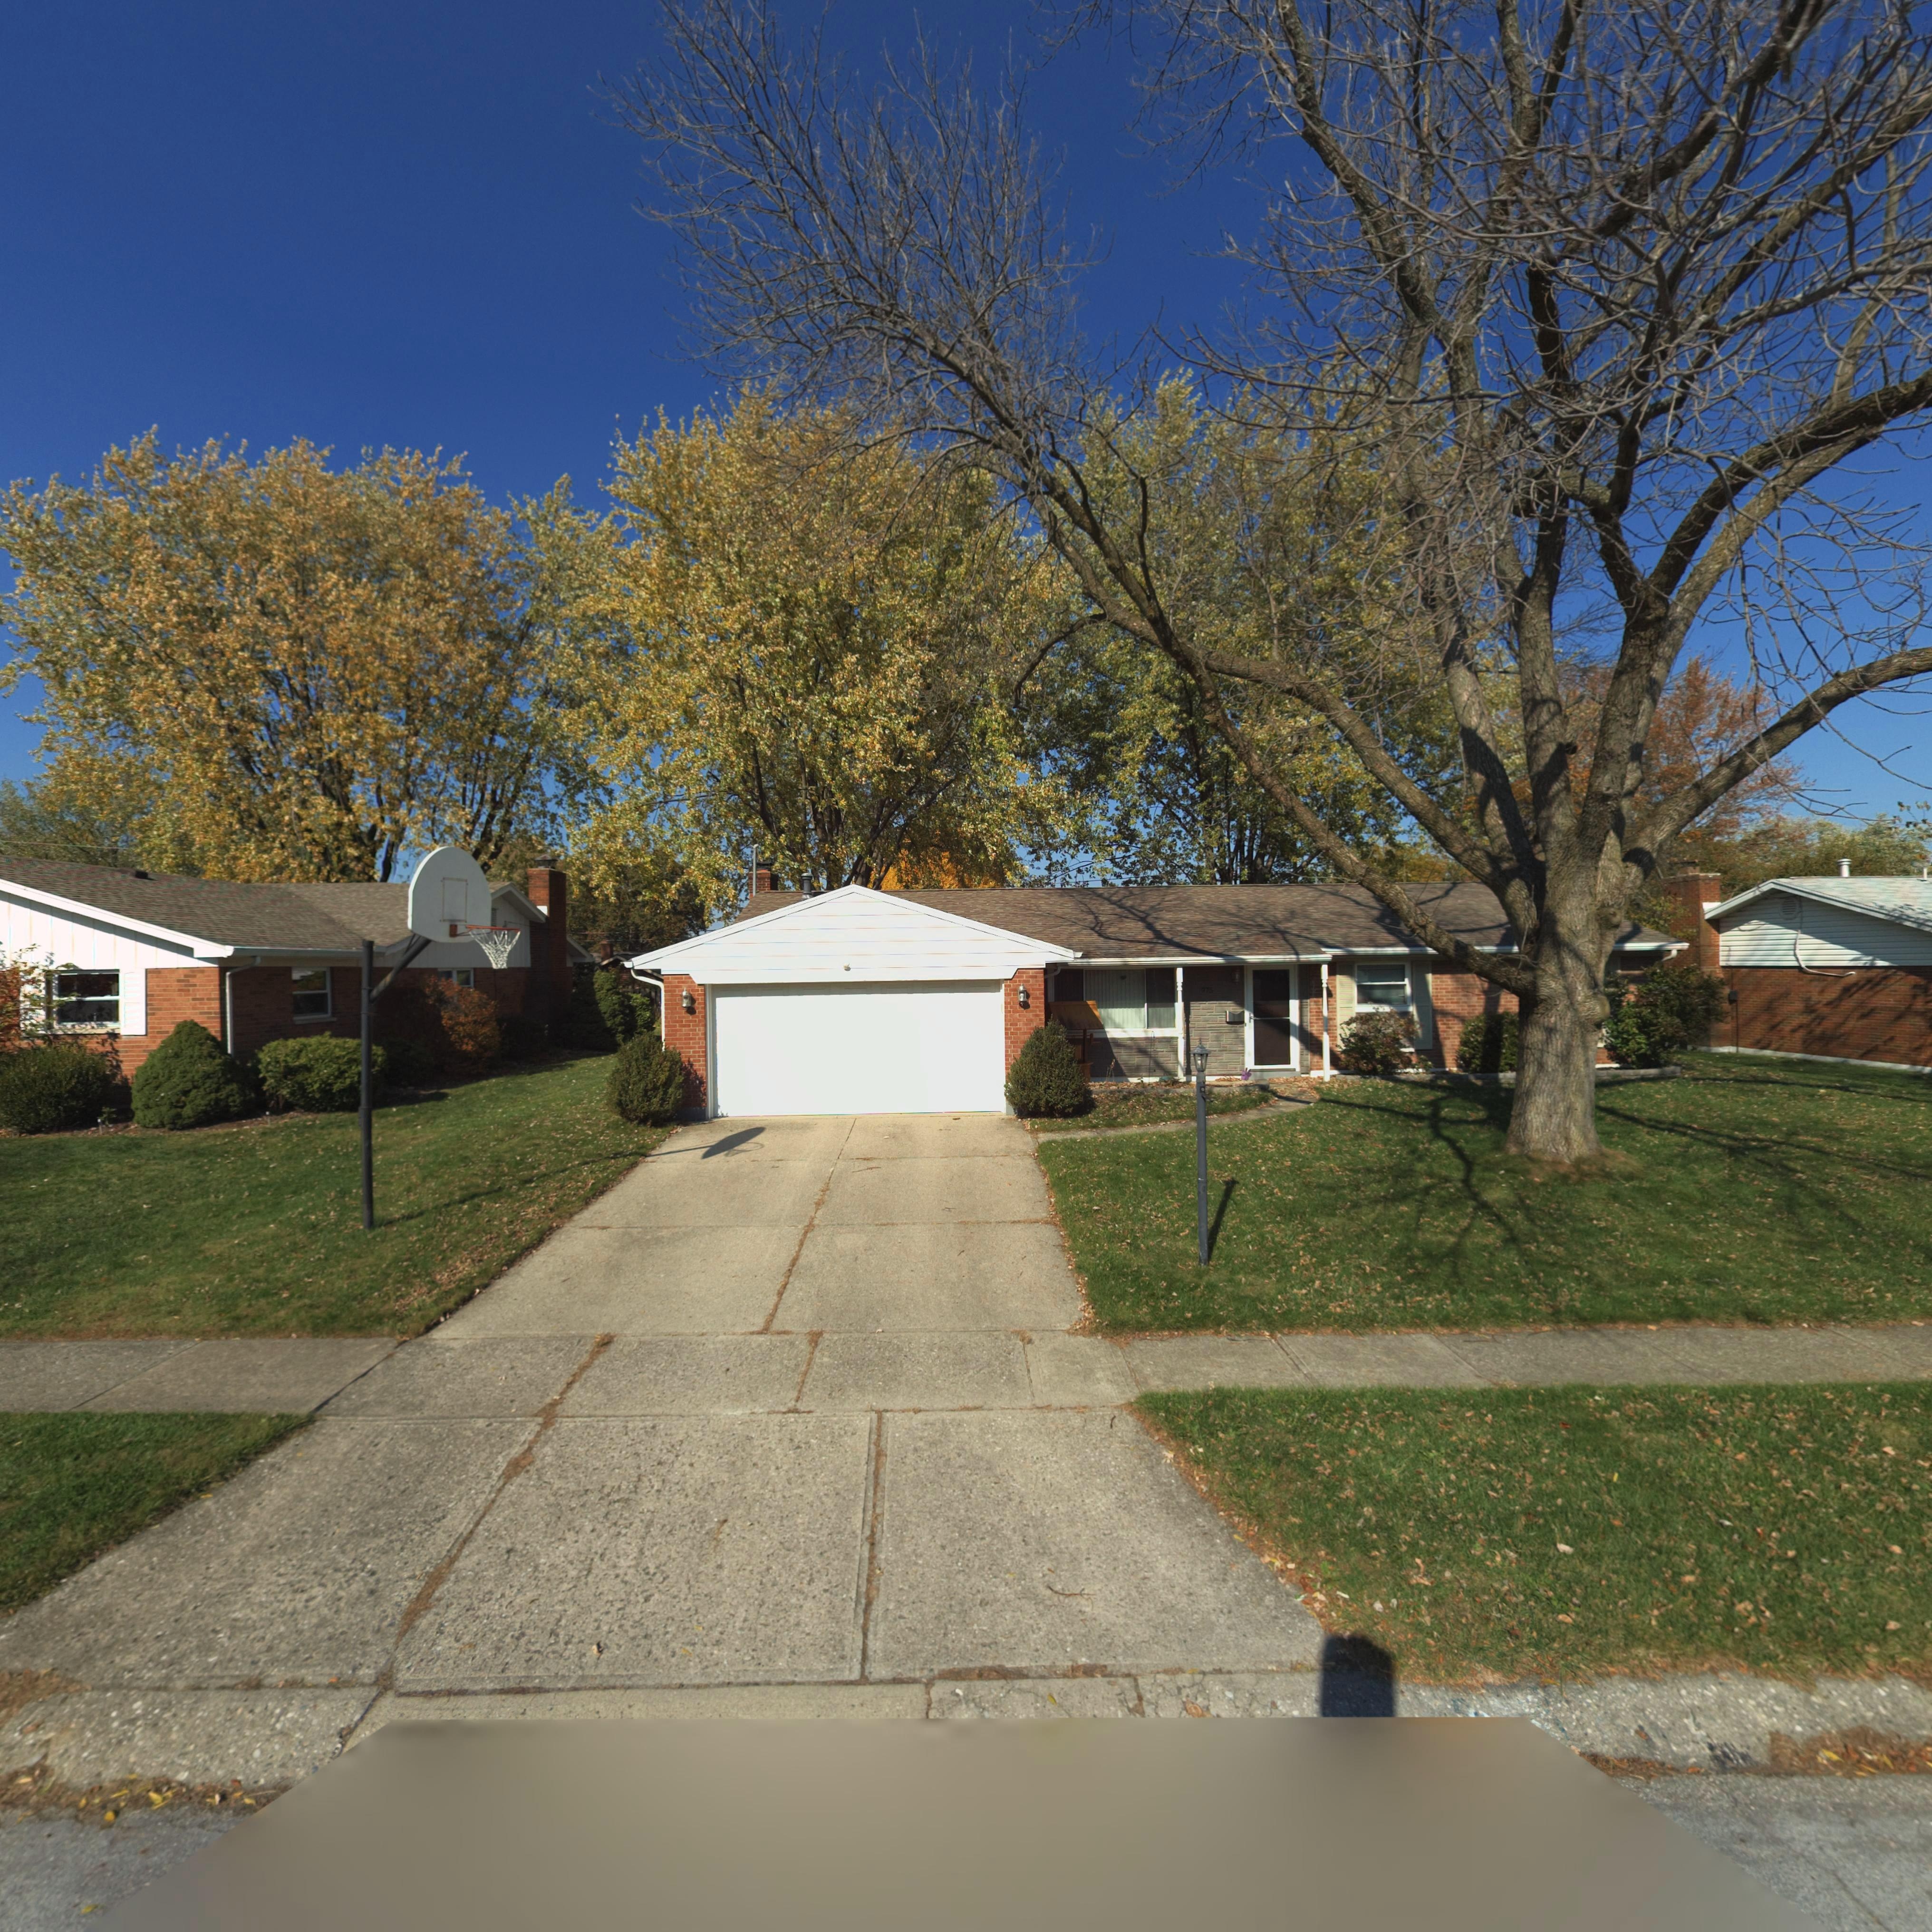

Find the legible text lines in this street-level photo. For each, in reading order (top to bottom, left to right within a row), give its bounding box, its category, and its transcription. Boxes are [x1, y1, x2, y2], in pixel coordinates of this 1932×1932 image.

[1200, 987, 1214, 994] StreetNumber: 975